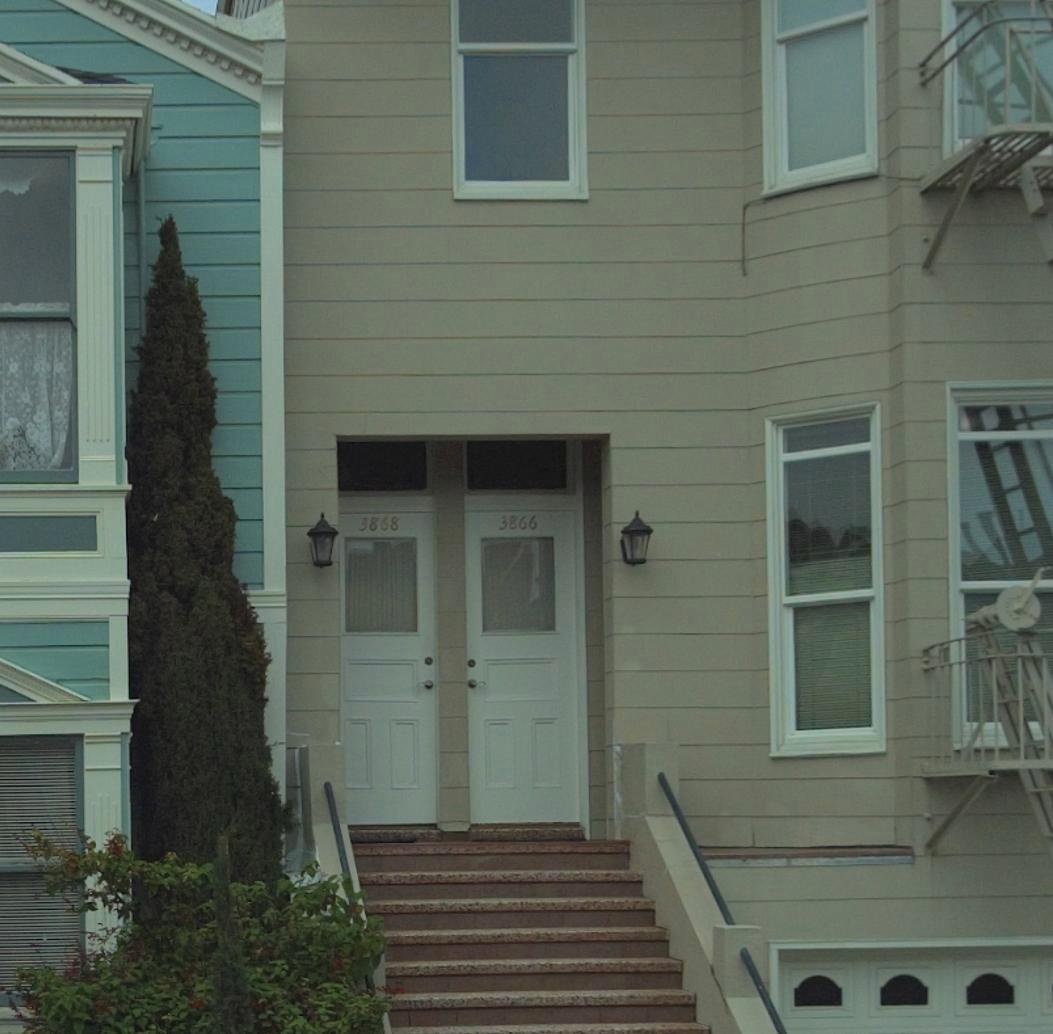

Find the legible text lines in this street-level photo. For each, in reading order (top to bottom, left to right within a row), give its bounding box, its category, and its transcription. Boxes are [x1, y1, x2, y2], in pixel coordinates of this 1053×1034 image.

[358, 515, 402, 532] StreetNumber: 3868
[499, 514, 538, 530] StreetNumber: 3866